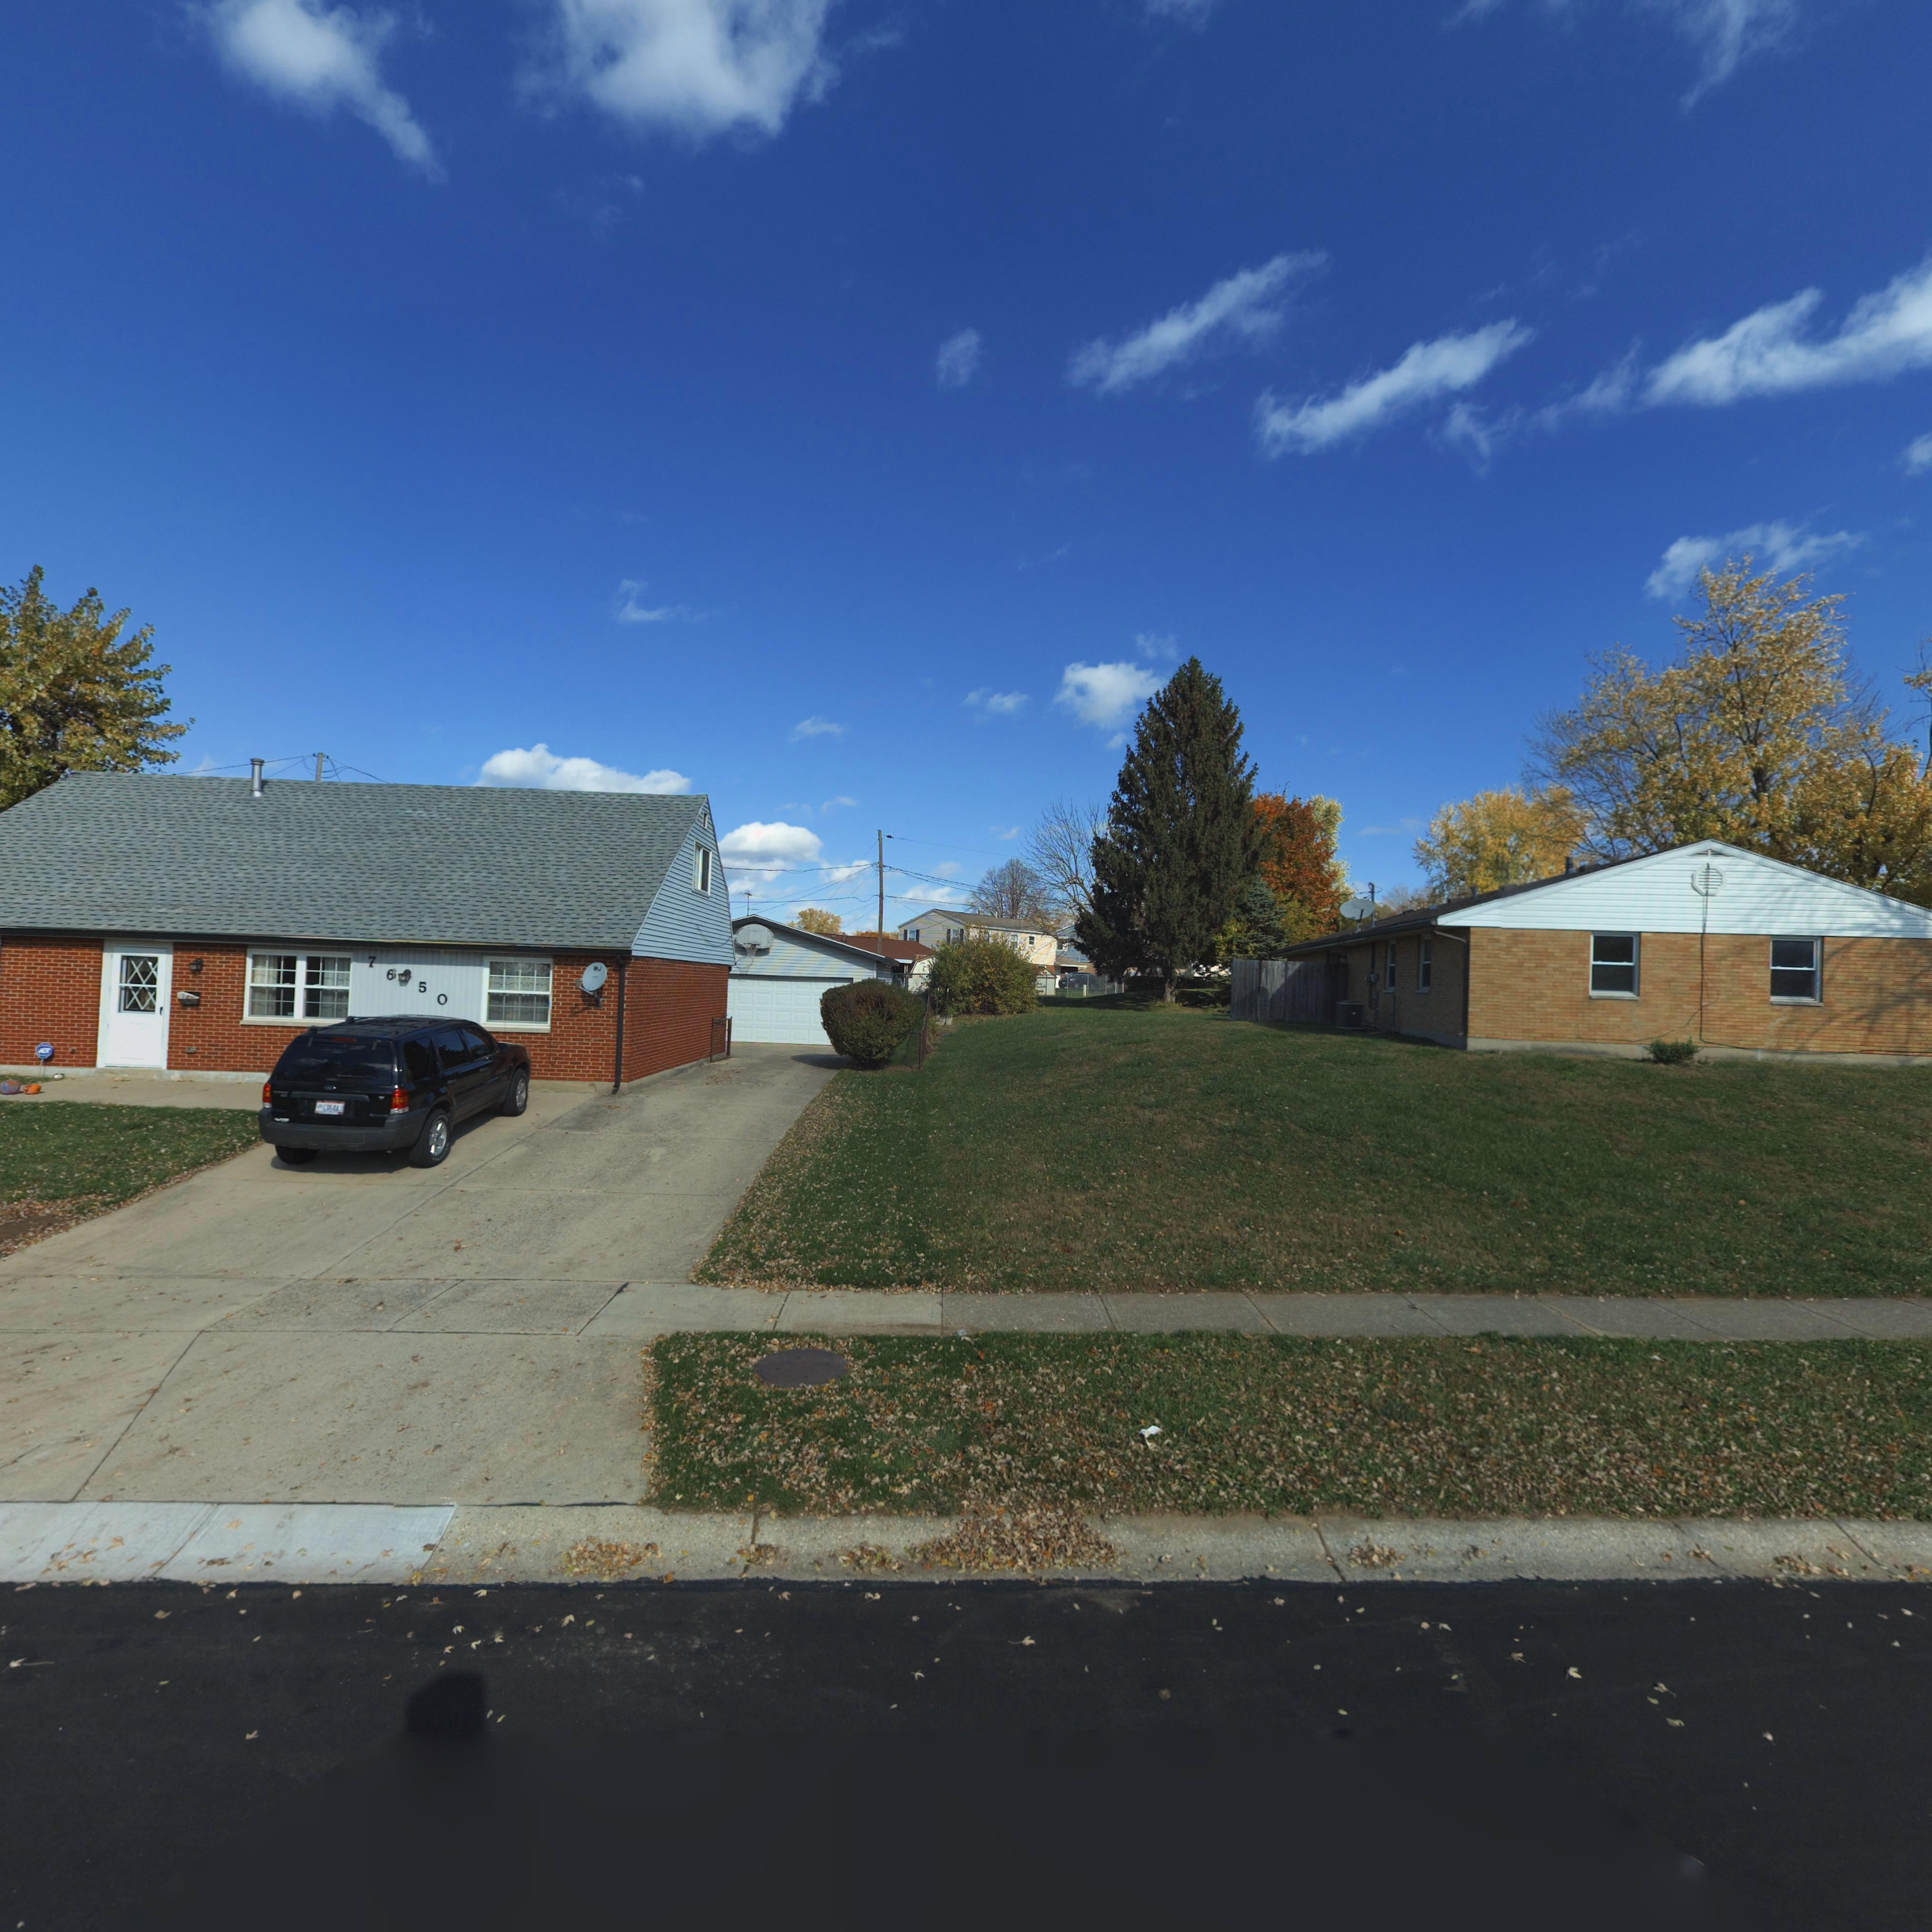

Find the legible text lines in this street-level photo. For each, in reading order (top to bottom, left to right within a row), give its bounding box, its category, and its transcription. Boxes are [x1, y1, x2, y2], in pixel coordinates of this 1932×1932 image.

[367, 955, 448, 1006] StreetNumber: 76*50